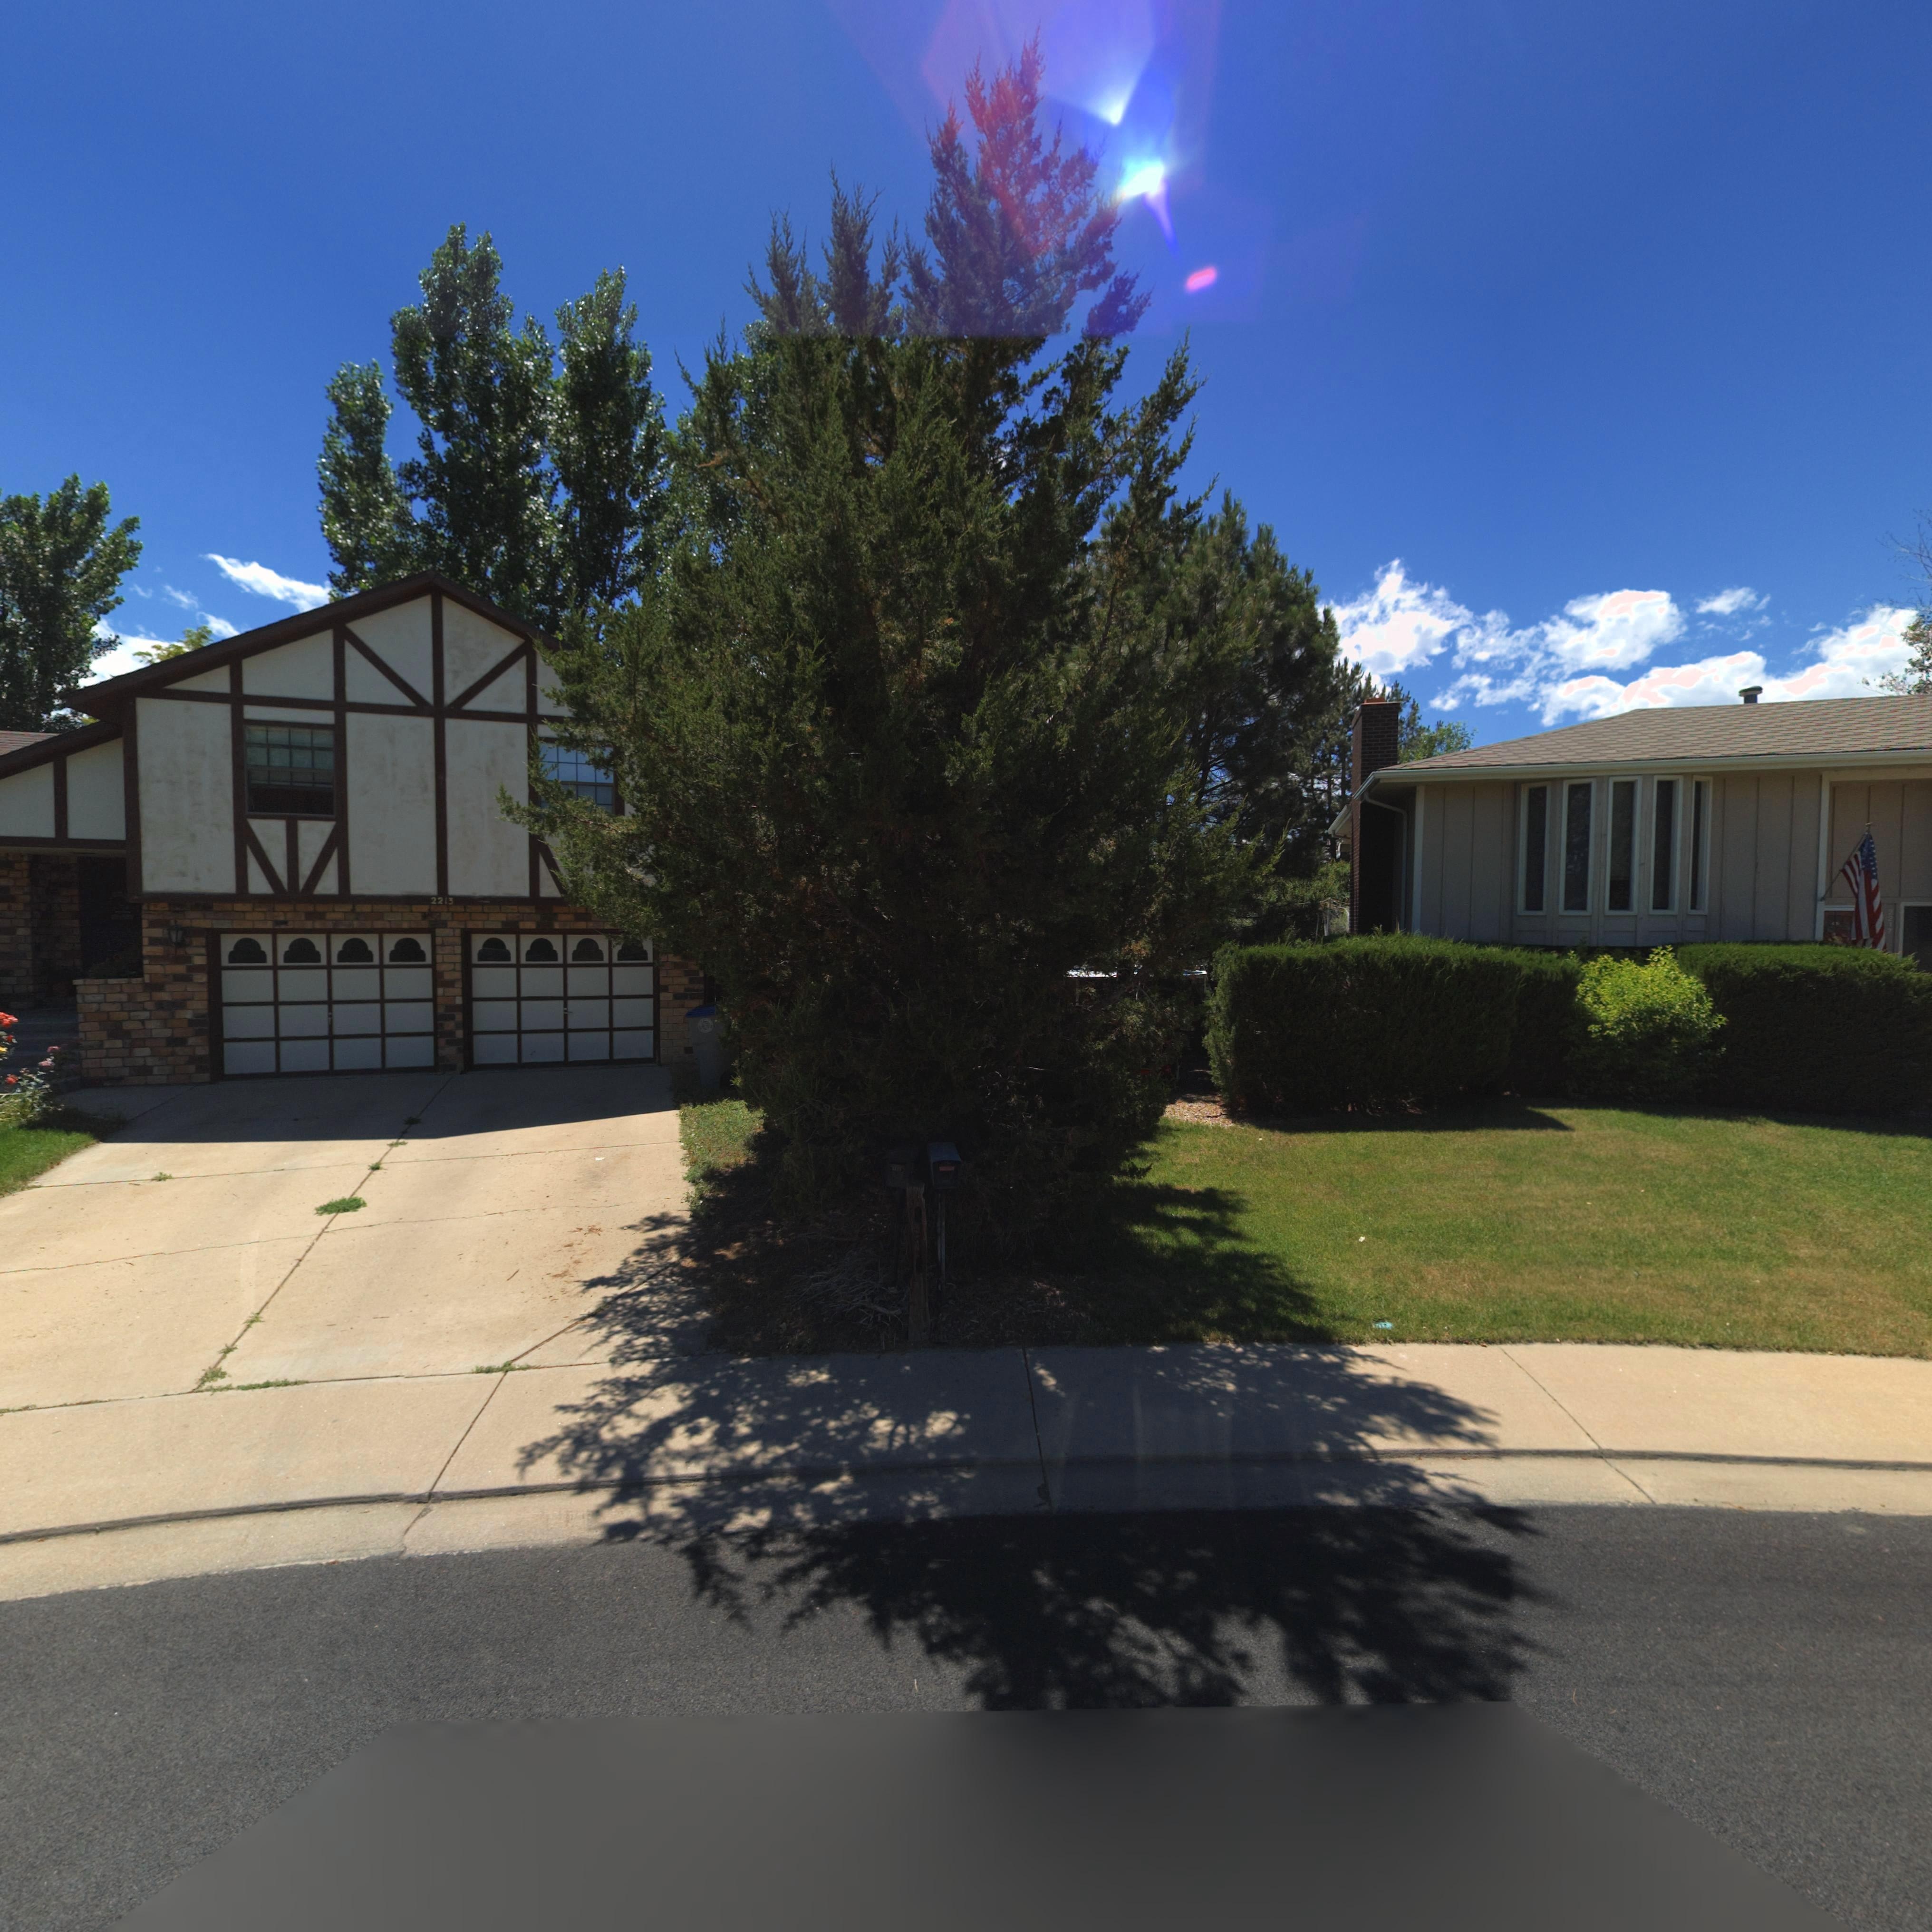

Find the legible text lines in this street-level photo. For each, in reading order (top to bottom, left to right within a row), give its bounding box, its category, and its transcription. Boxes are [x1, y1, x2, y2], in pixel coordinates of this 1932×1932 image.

[431, 897, 454, 905] StreetNumber: 2213